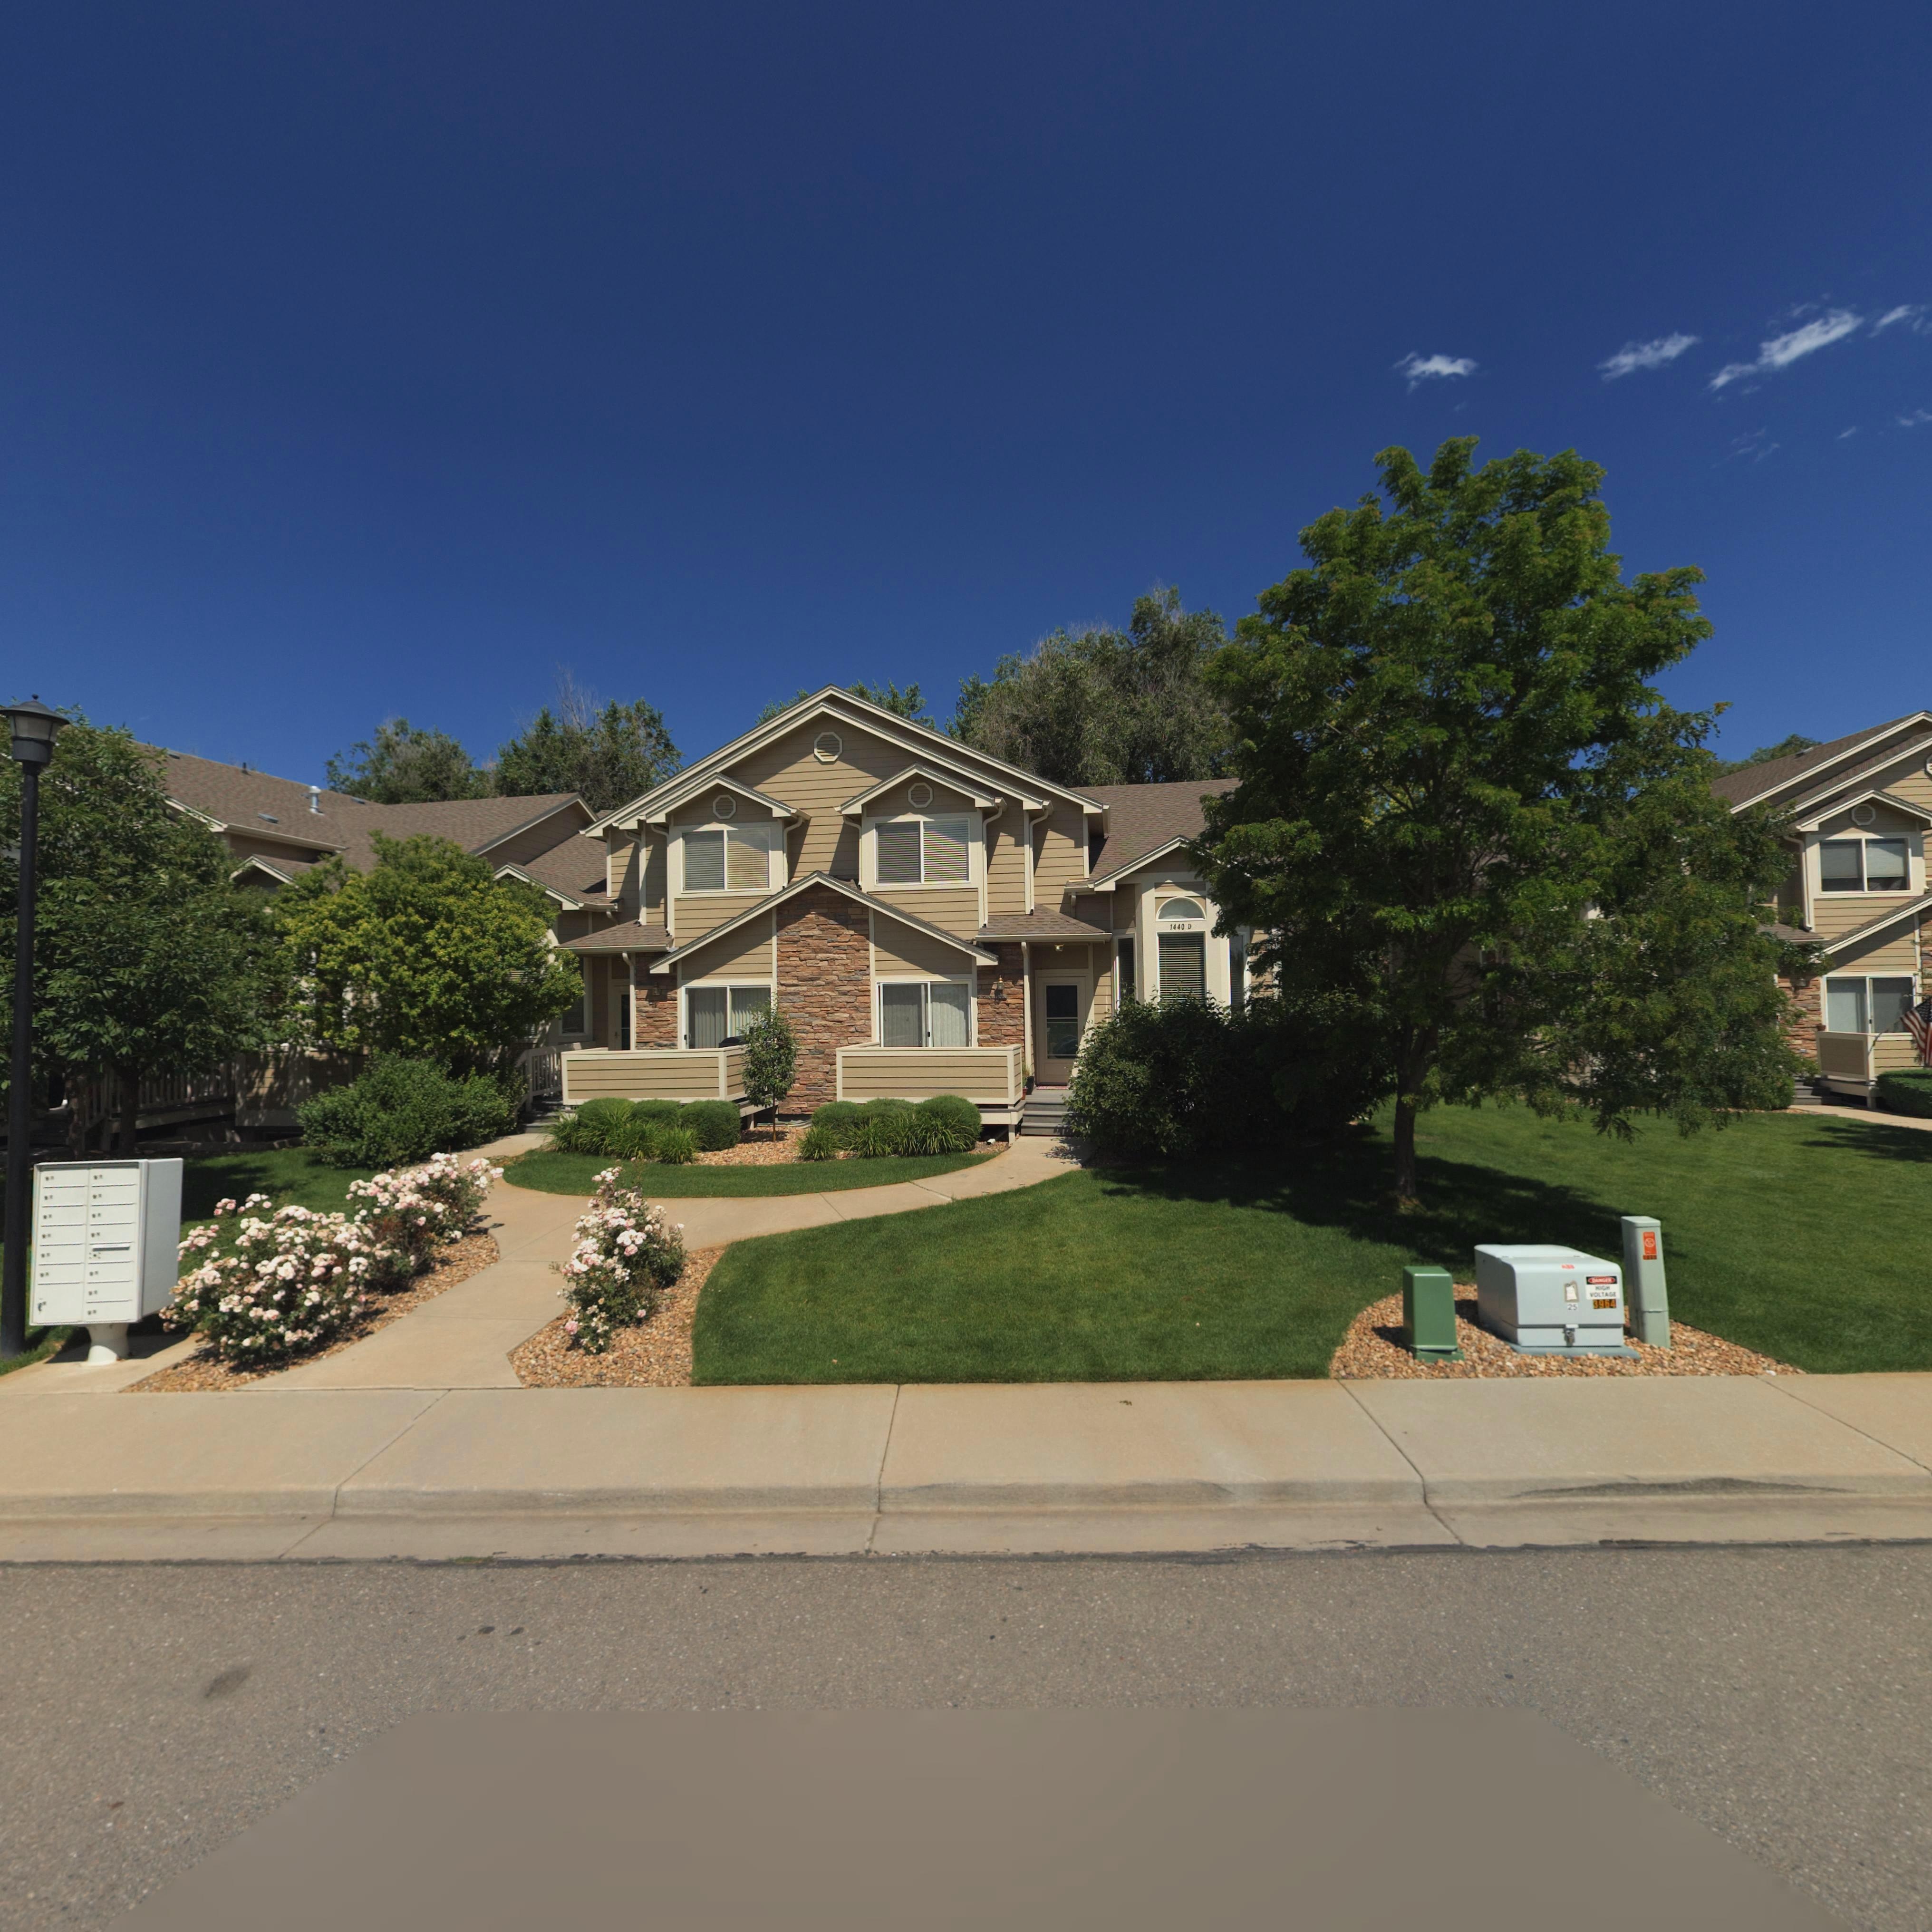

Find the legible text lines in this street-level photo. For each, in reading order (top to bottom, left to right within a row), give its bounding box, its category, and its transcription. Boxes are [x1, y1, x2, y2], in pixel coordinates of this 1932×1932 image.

[1169, 923, 1192, 930] StreetNumber: 1440 D